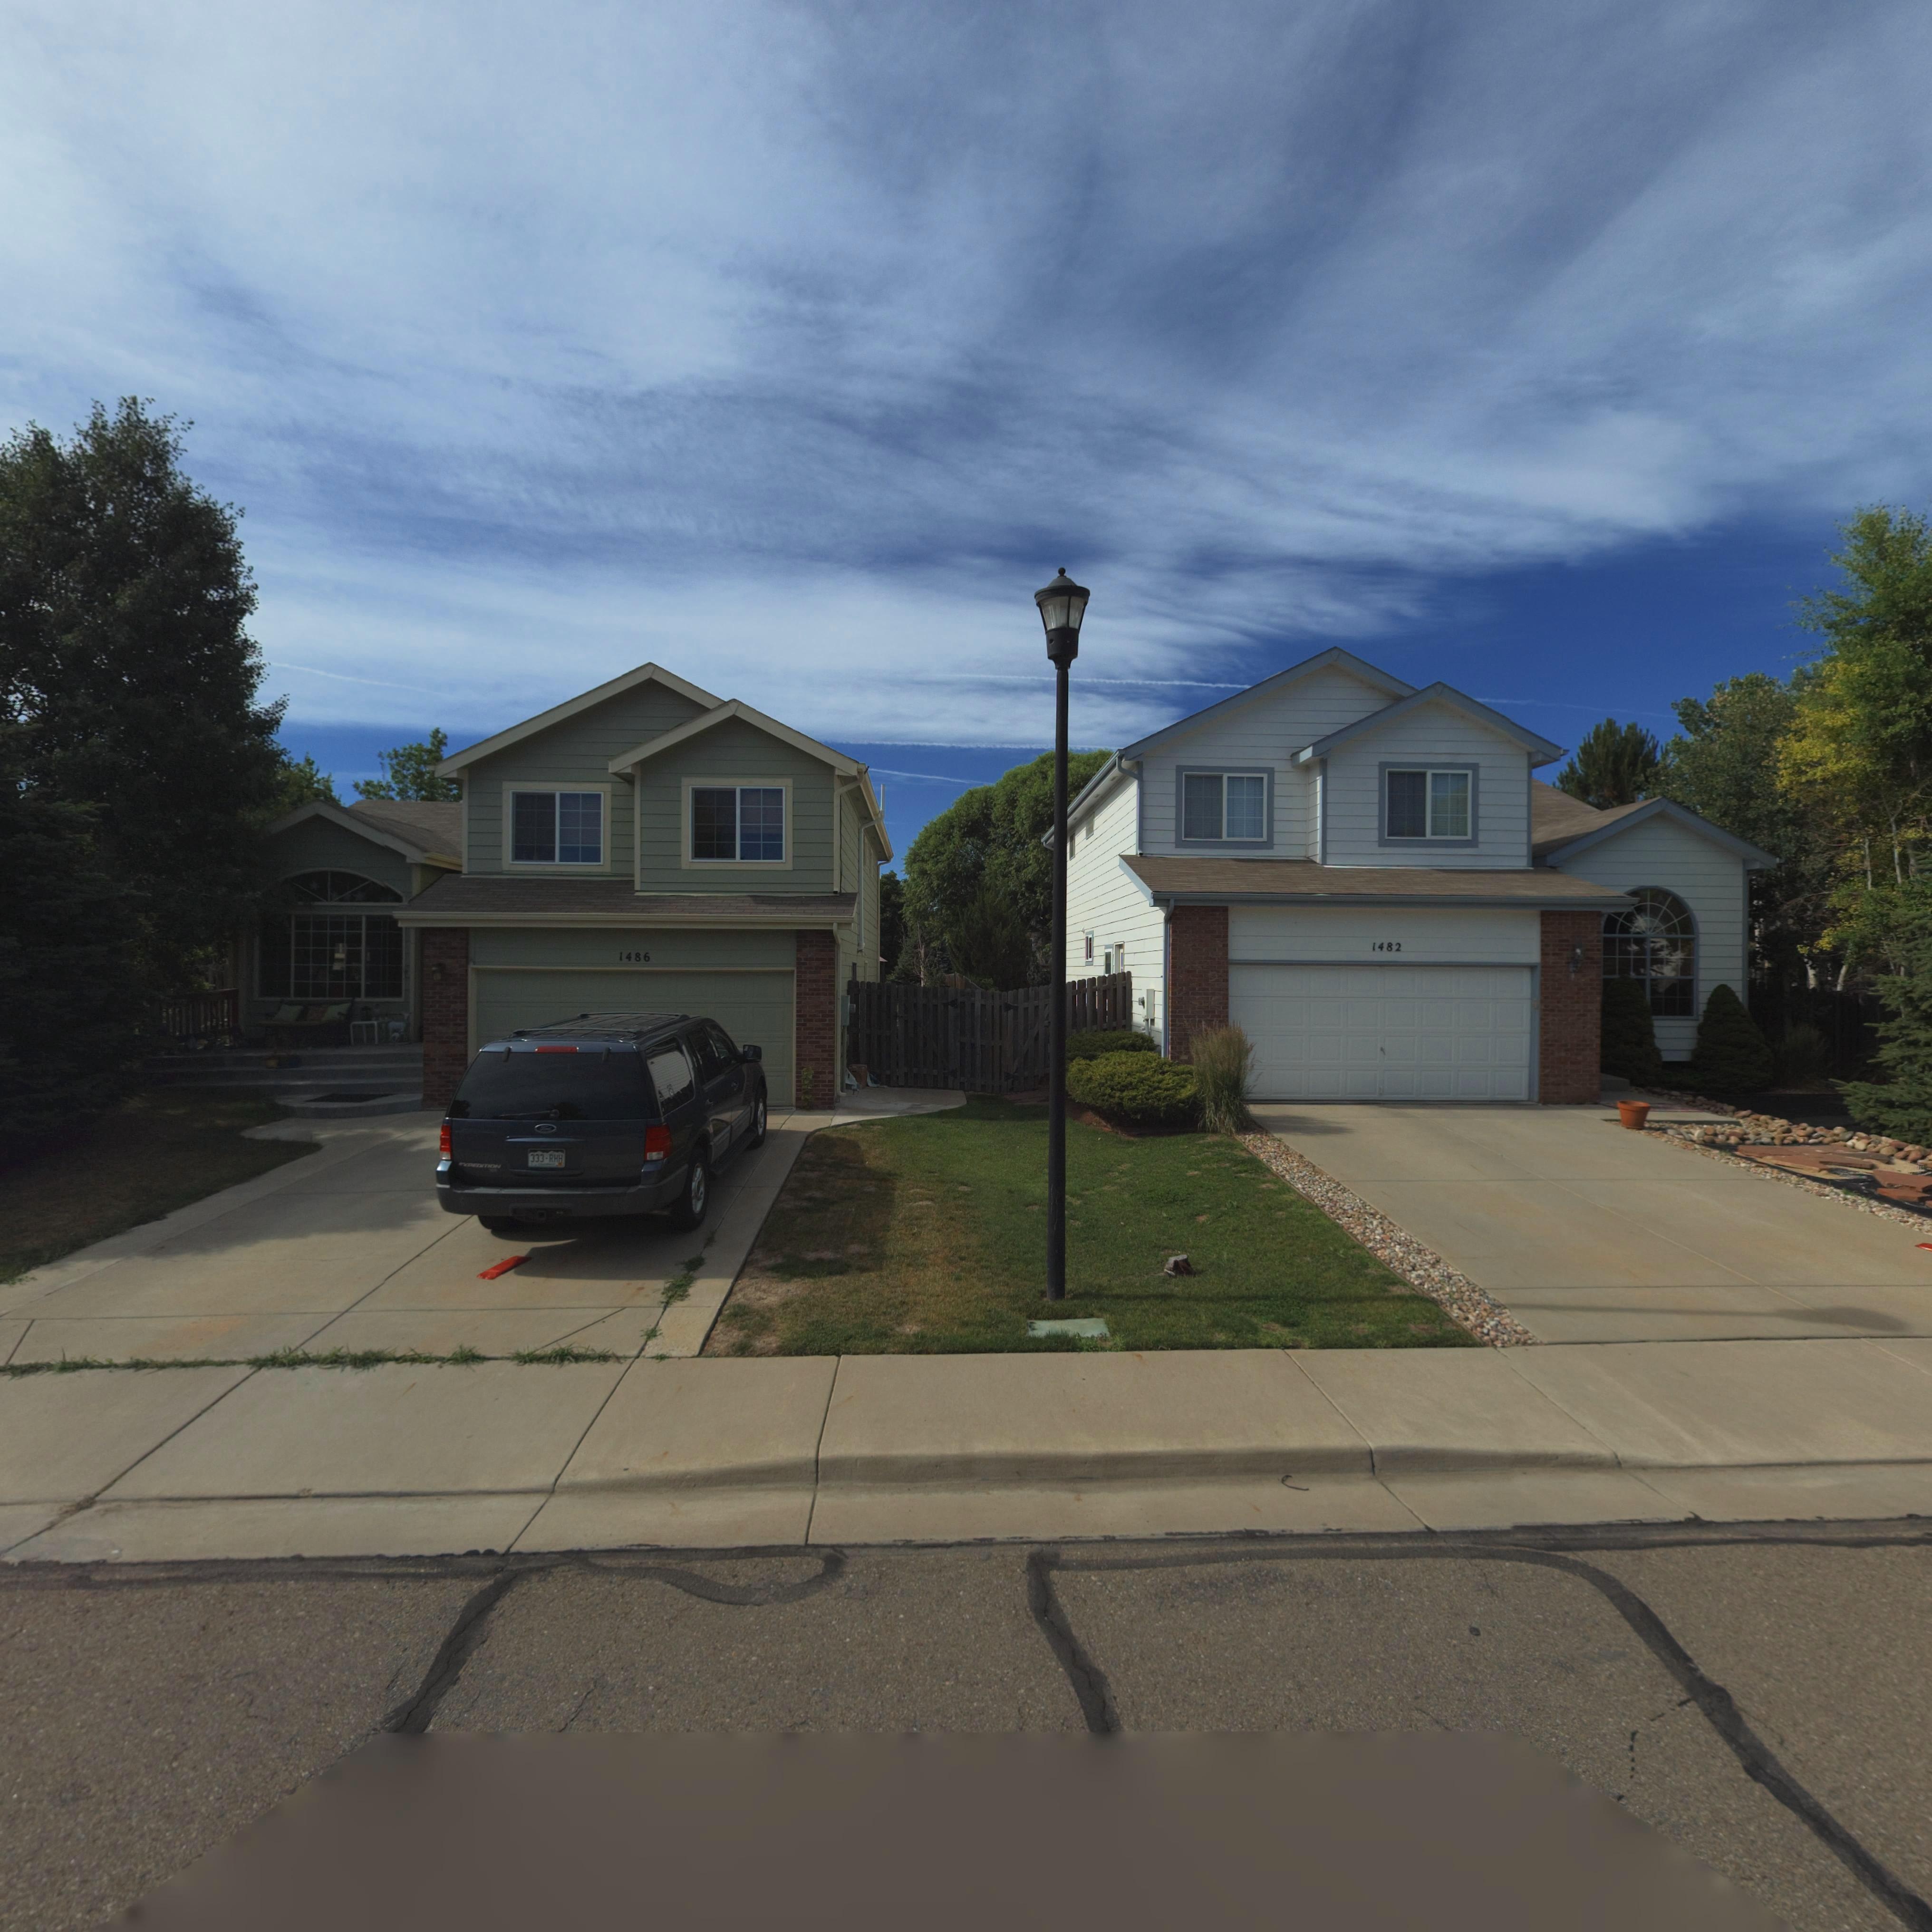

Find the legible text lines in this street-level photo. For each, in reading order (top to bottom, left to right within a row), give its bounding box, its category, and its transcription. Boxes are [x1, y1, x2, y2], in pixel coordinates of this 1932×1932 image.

[1371, 941, 1401, 952] StreetNumber: 1482
[618, 950, 651, 963] StreetNumber: 1486